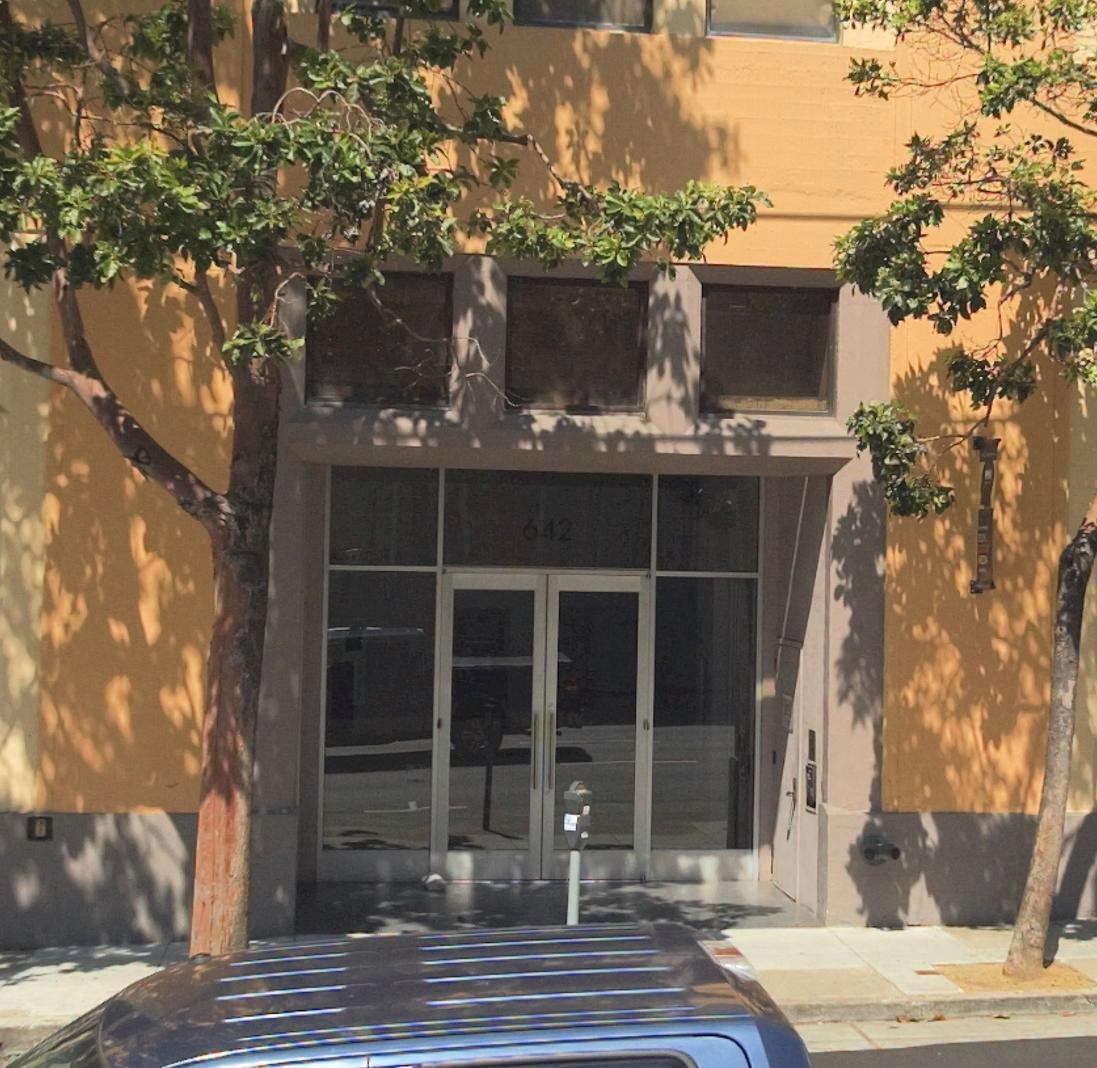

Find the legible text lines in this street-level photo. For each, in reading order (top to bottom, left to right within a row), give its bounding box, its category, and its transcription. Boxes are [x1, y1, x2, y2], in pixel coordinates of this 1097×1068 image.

[522, 517, 573, 541] StreetNumber: 642